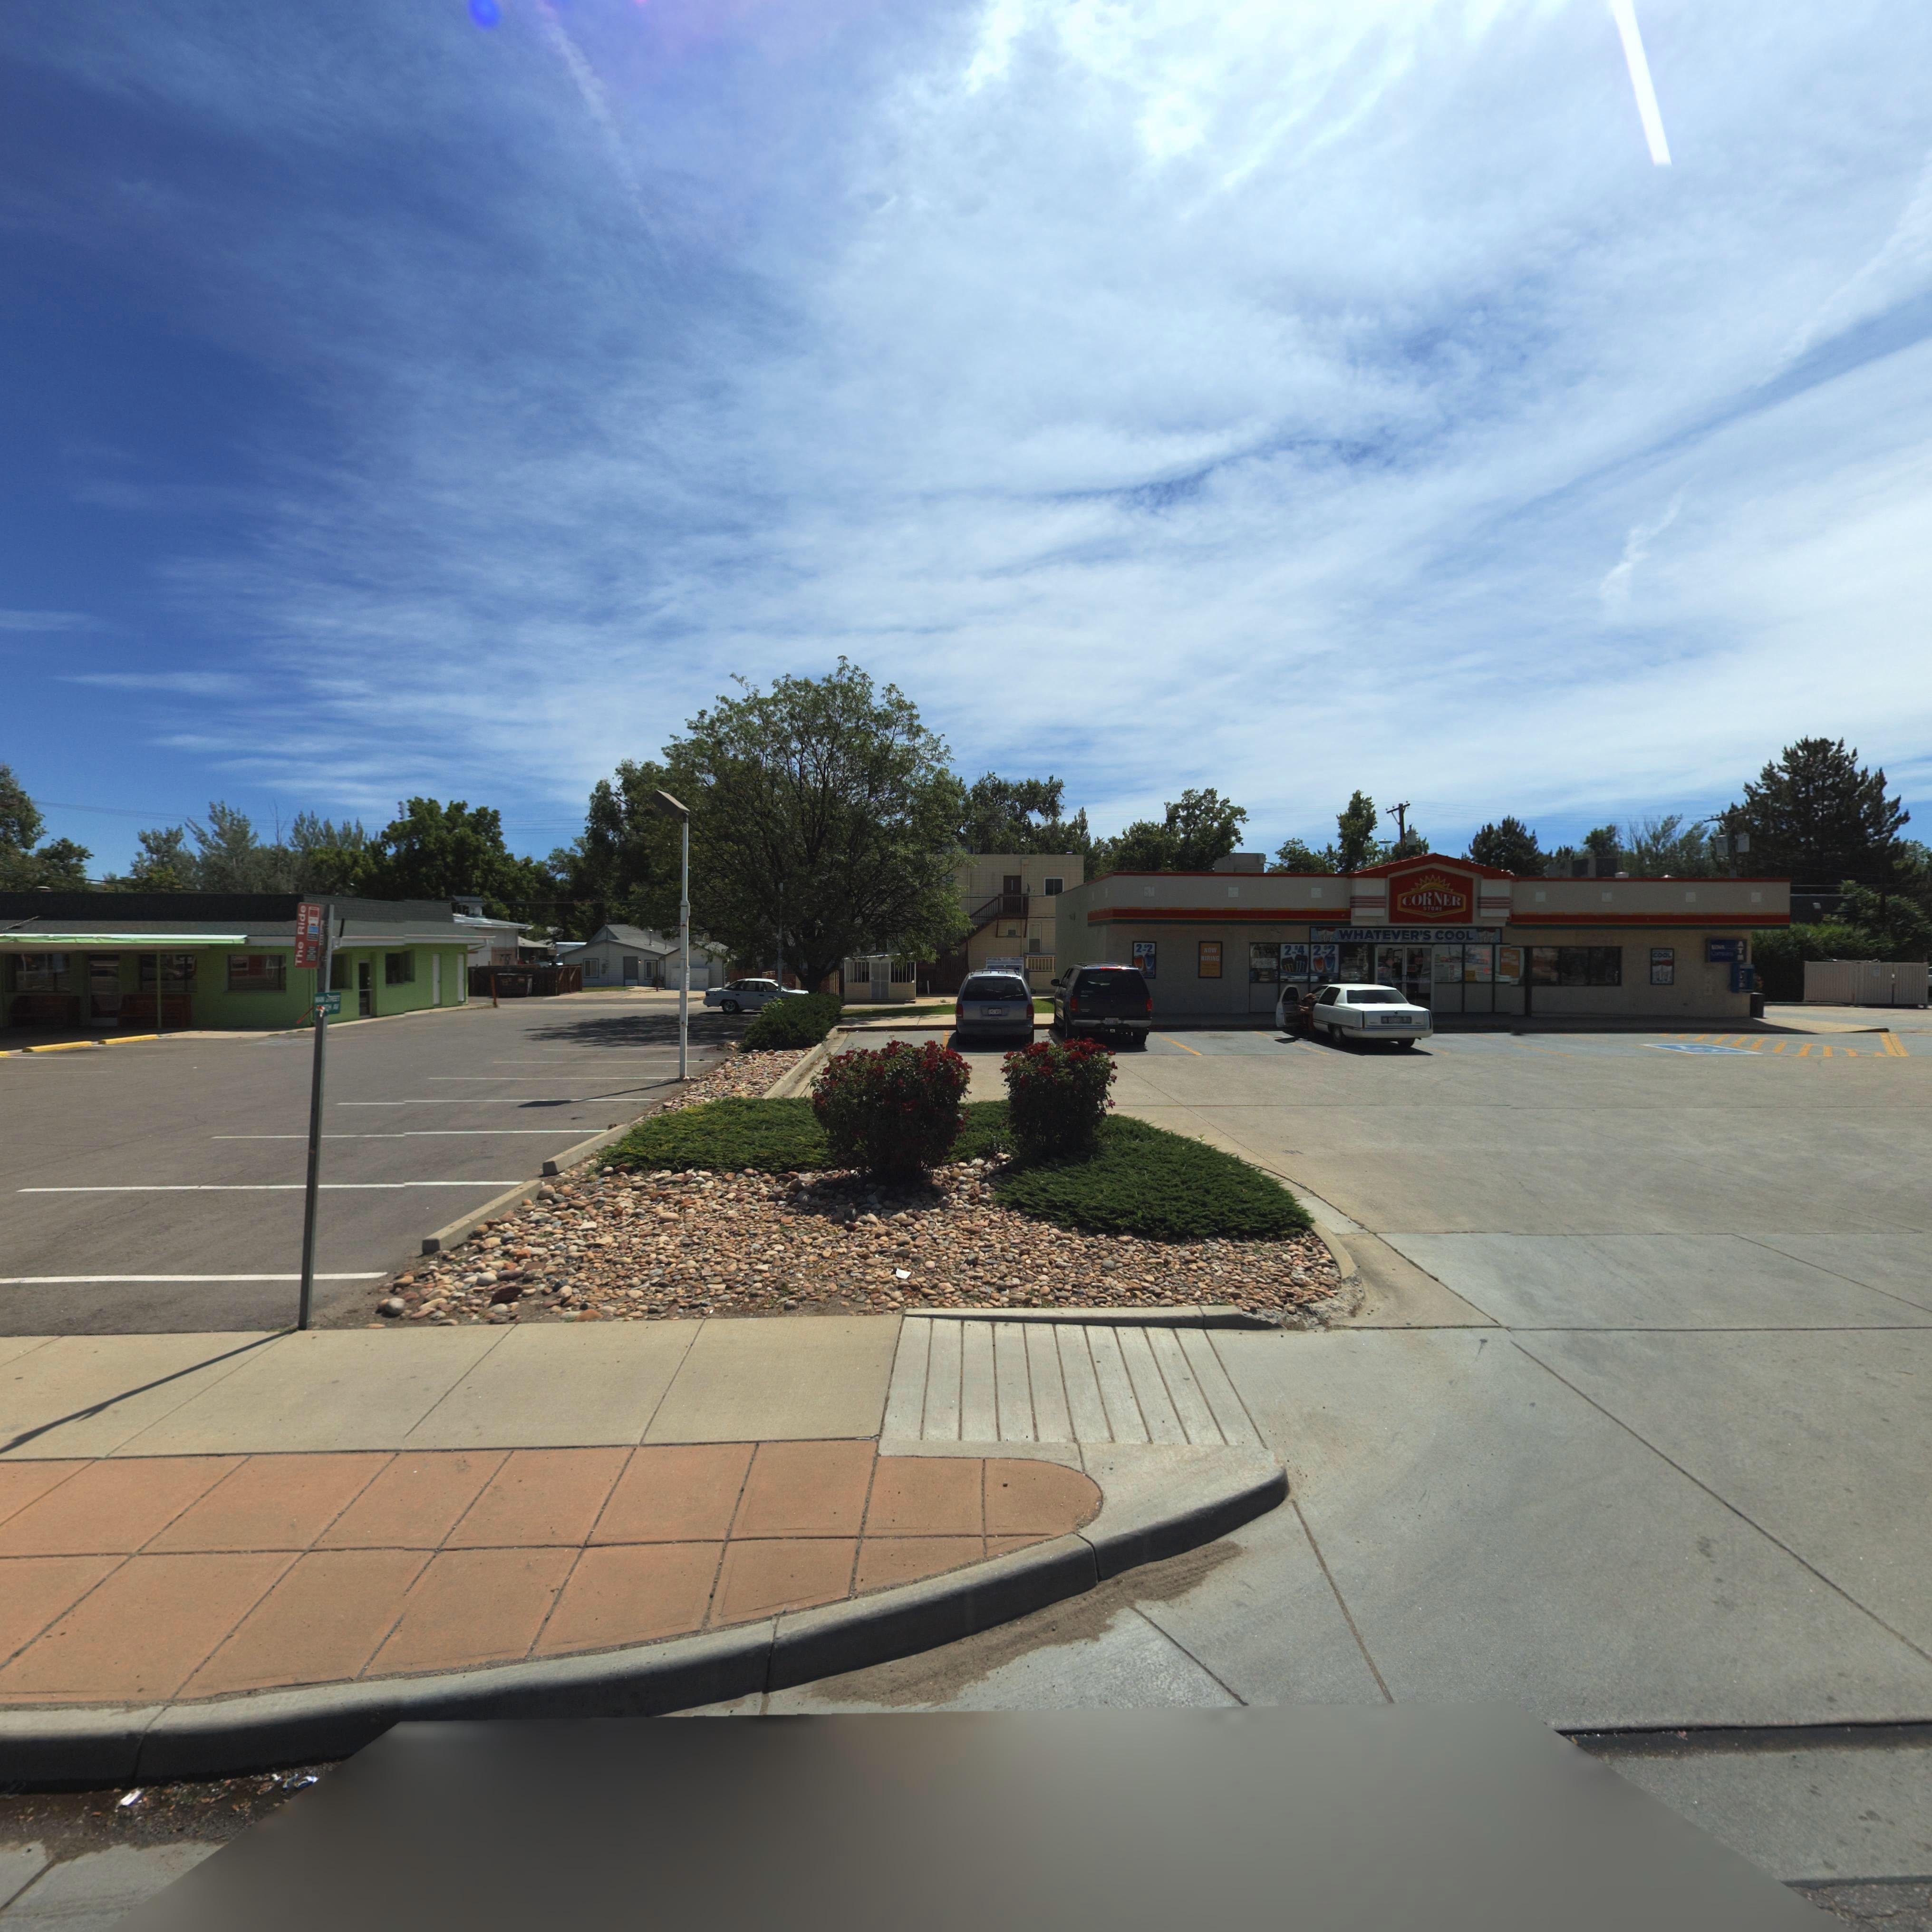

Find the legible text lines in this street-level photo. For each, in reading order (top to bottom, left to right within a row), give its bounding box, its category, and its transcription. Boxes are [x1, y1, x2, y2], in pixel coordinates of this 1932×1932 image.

[1402, 891, 1460, 906] BusinessName: CORNER
[1422, 906, 1442, 911] BusinessName: STORE